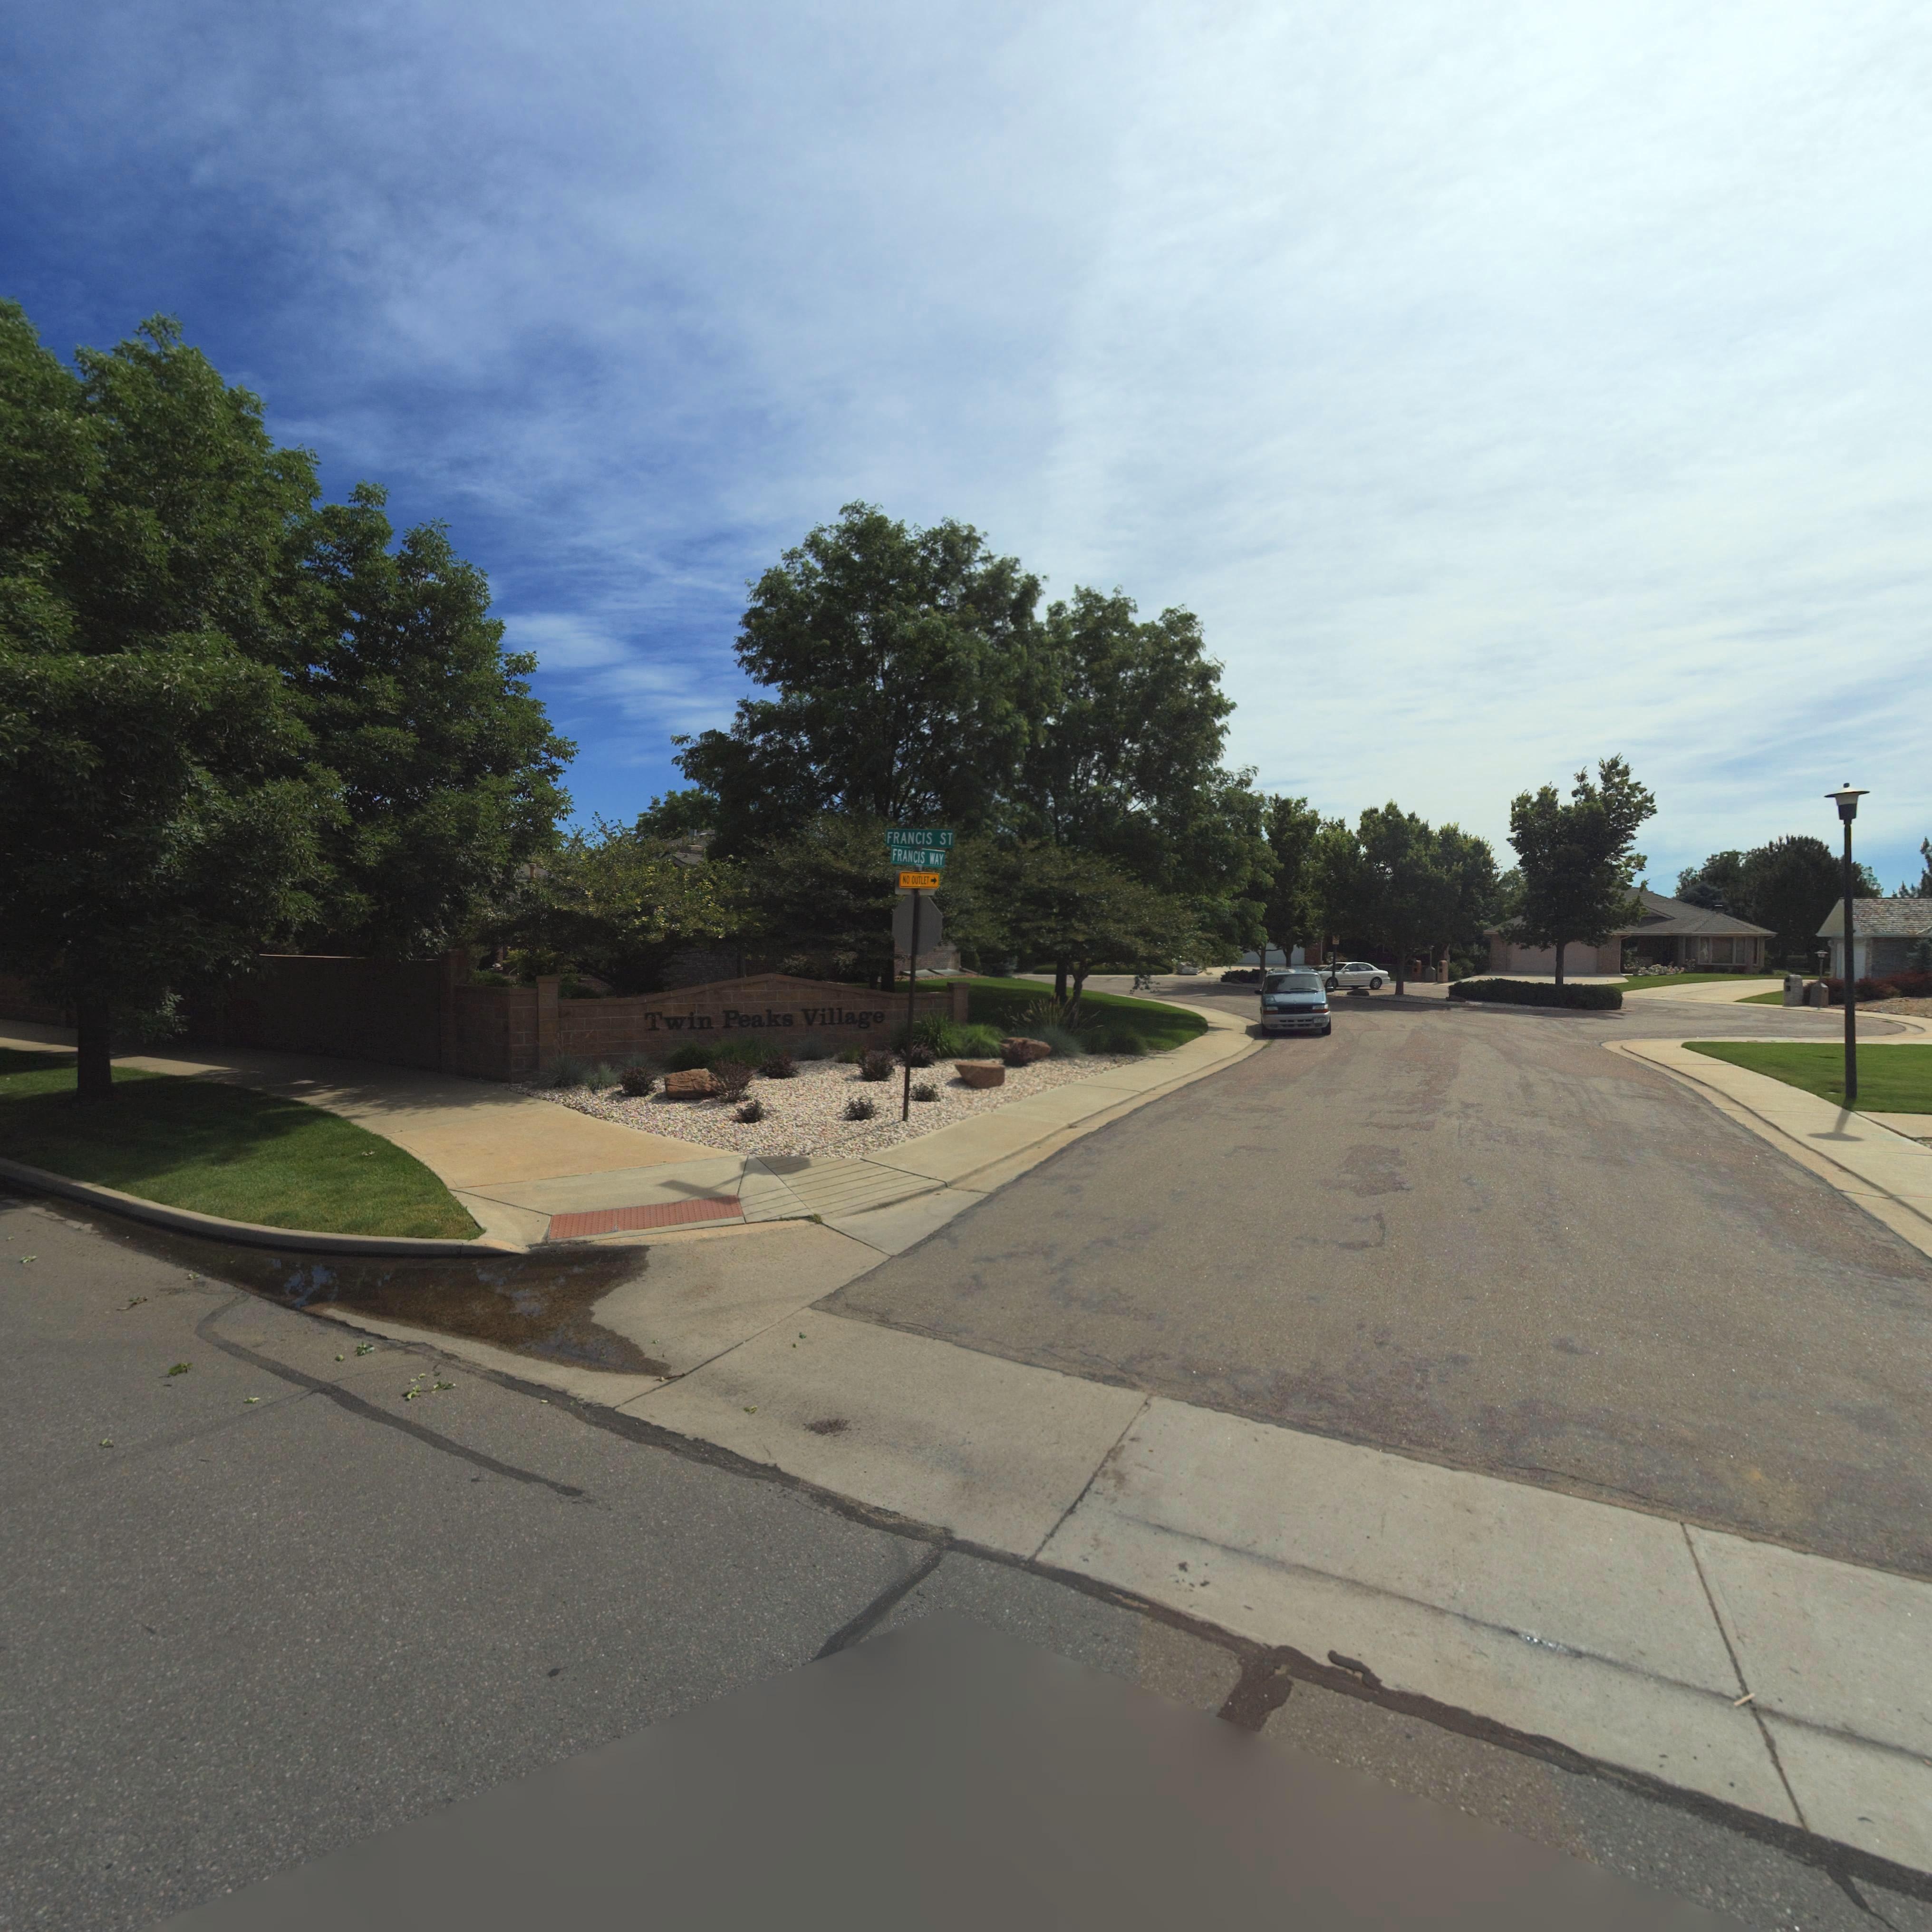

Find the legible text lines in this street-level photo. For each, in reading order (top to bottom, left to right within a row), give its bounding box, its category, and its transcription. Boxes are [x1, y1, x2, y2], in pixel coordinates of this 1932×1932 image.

[887, 831, 953, 845] StreetName: FRANCIS ST
[892, 848, 944, 866] StreetName: FRANCIS WAY